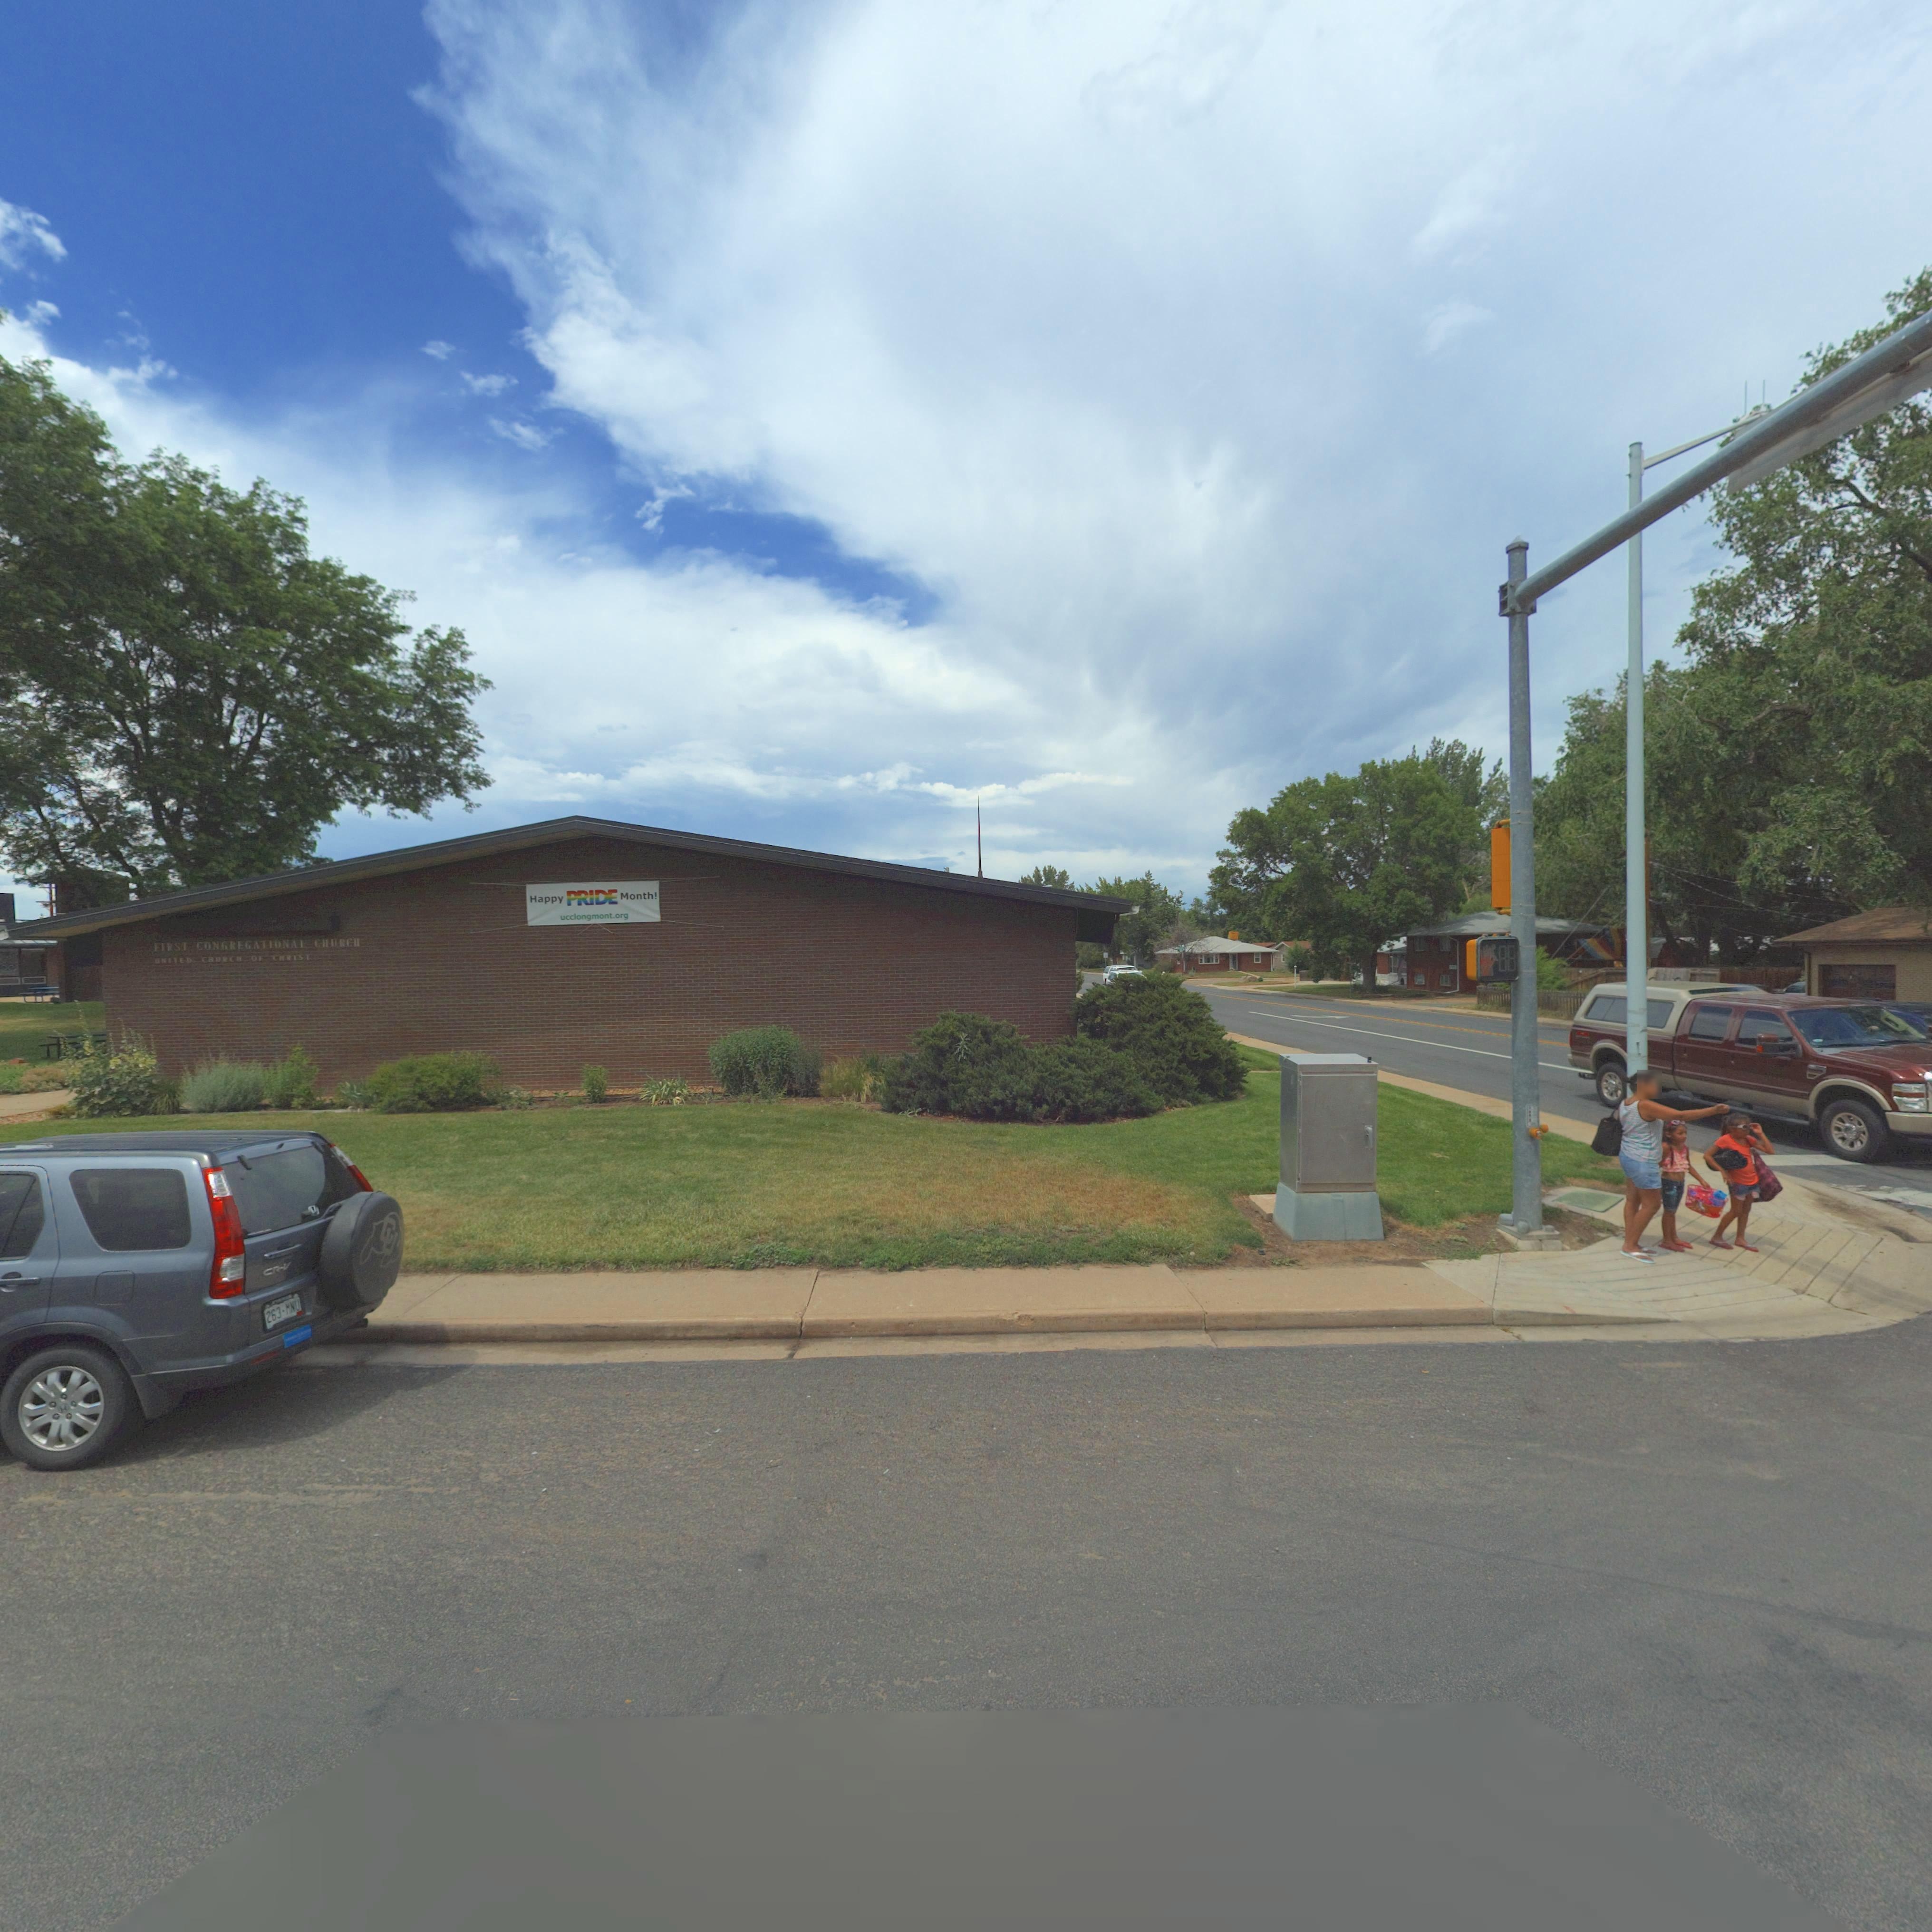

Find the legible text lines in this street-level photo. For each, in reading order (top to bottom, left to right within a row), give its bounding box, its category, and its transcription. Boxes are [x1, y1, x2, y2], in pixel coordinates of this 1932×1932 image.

[153, 937, 360, 952] BusinessName: FIRST CONGREGATIONAL CHURCH
[154, 954, 311, 964] BusinessName: UNITED CHURCH OF CHRIST